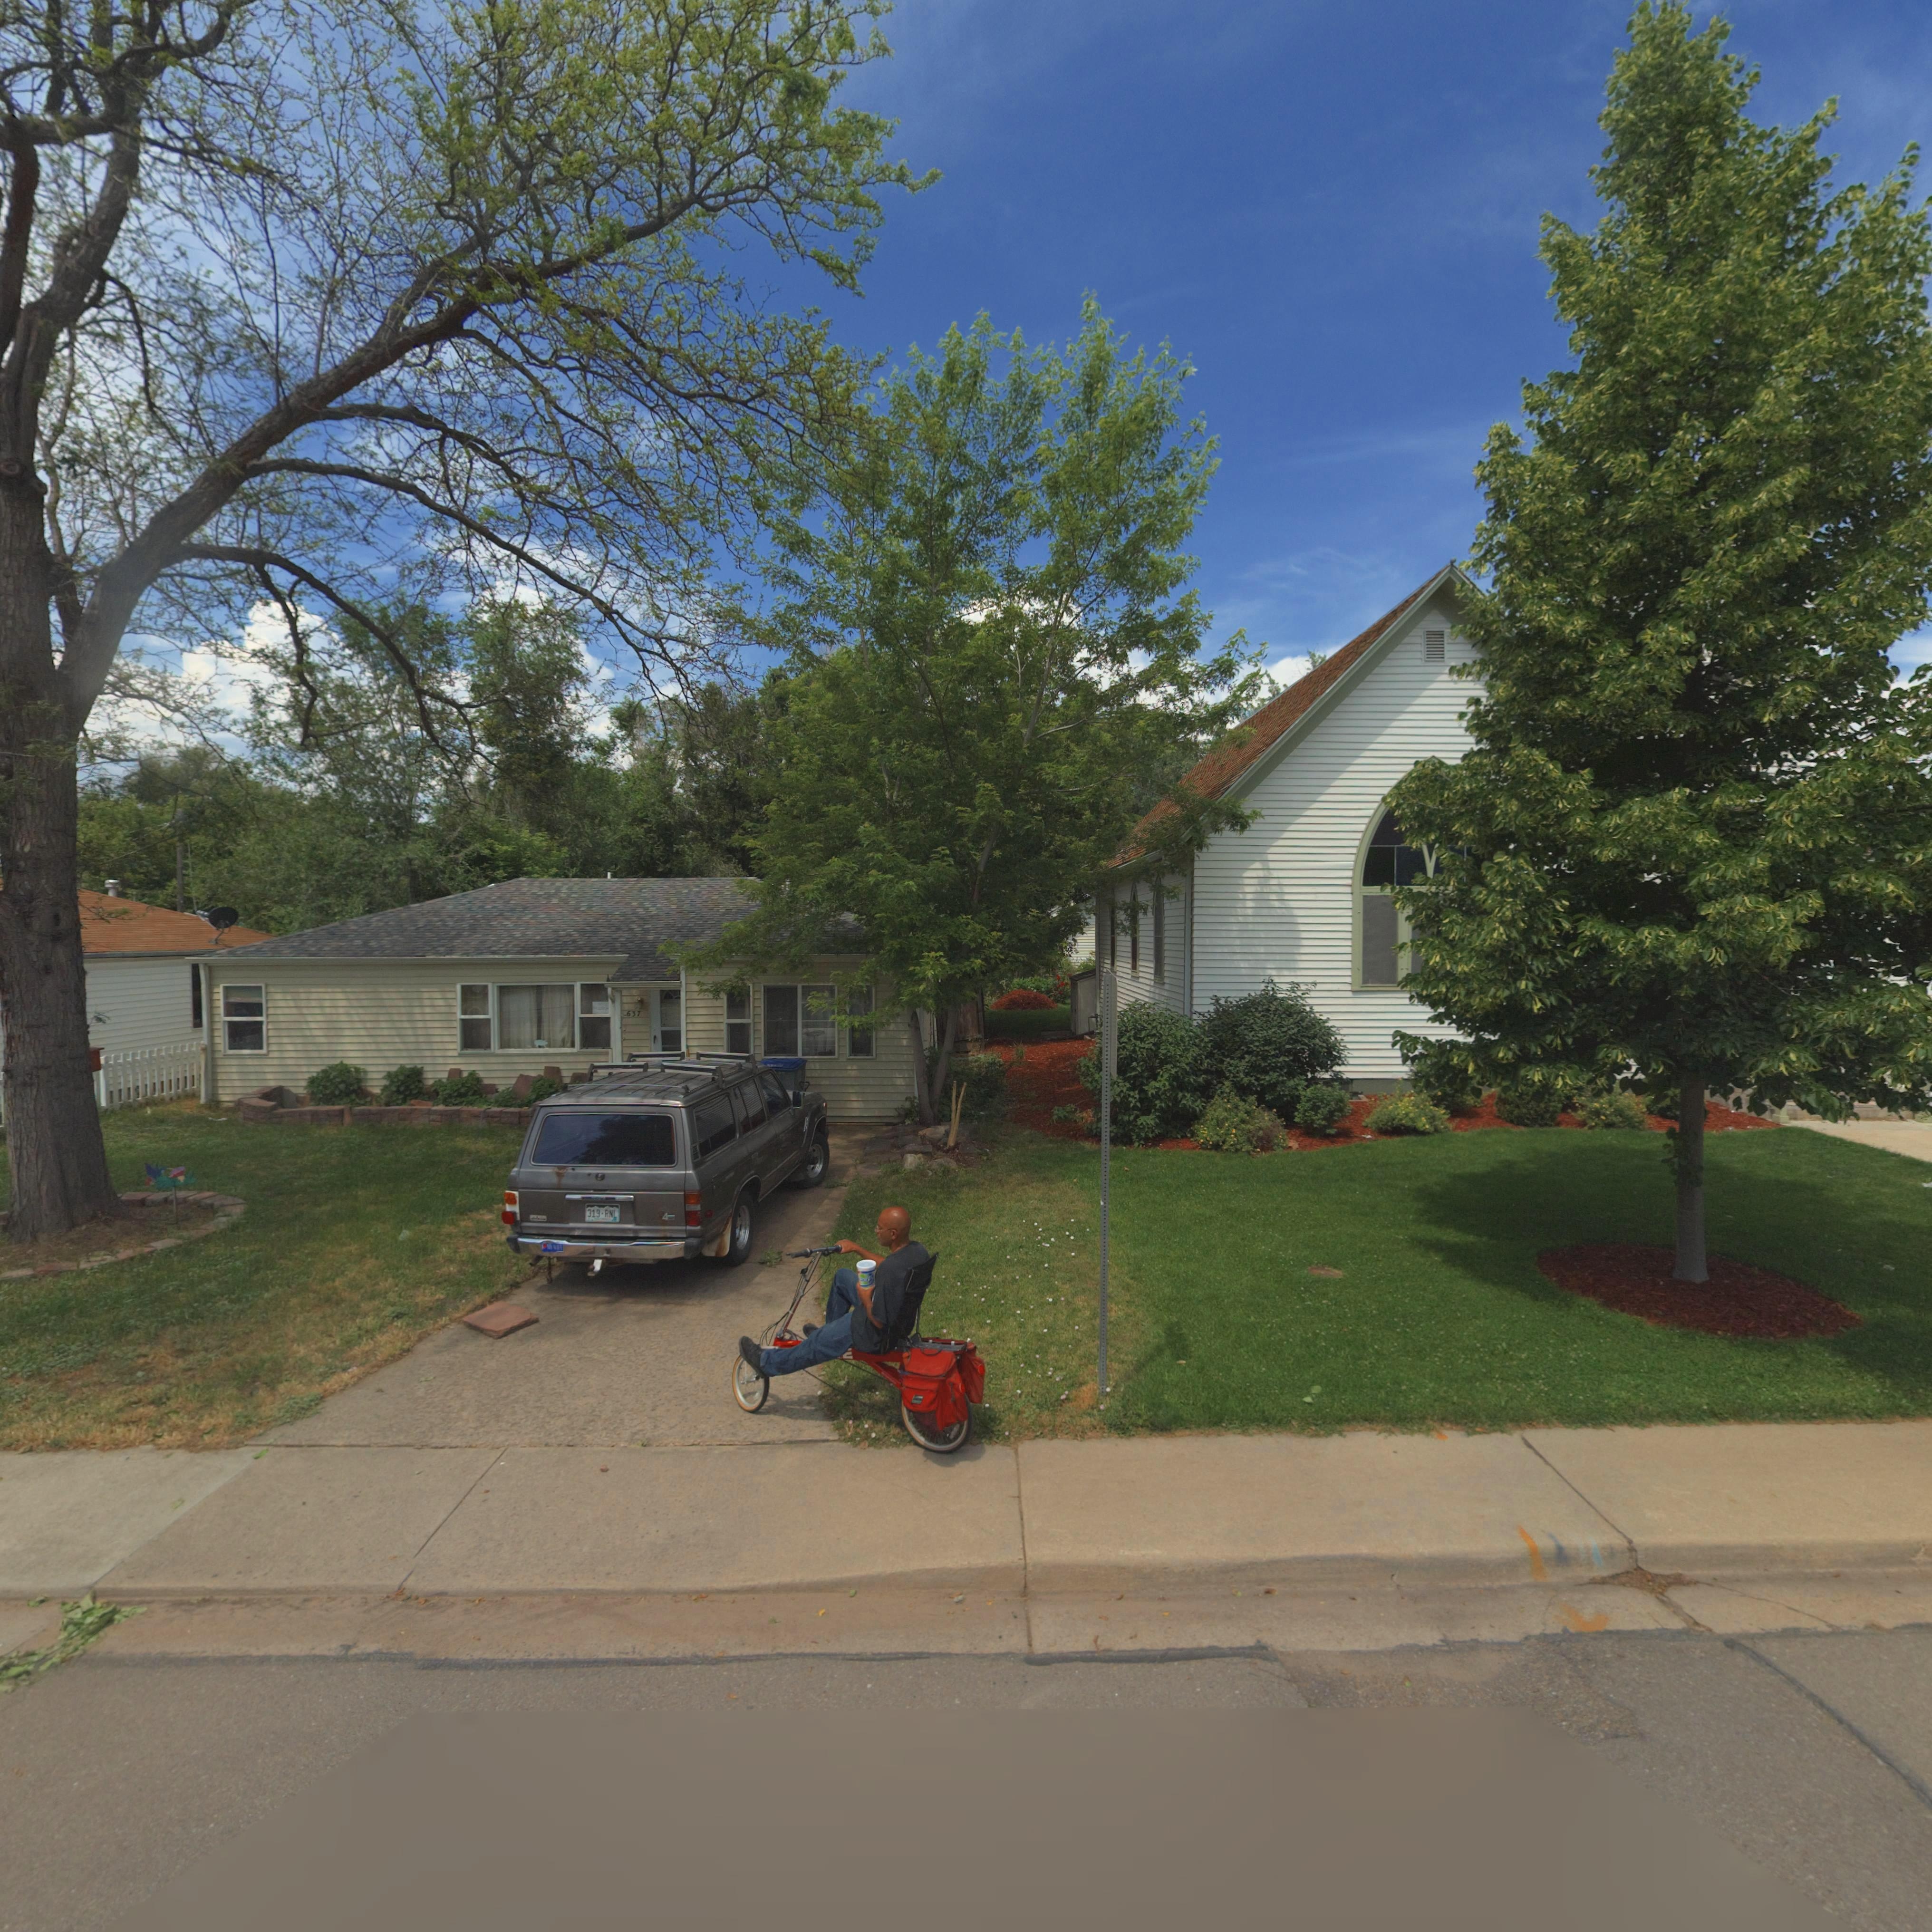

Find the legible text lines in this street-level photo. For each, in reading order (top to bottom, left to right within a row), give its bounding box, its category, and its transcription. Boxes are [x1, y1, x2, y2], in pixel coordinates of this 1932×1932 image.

[626, 1010, 641, 1016] StreetNumber: 637